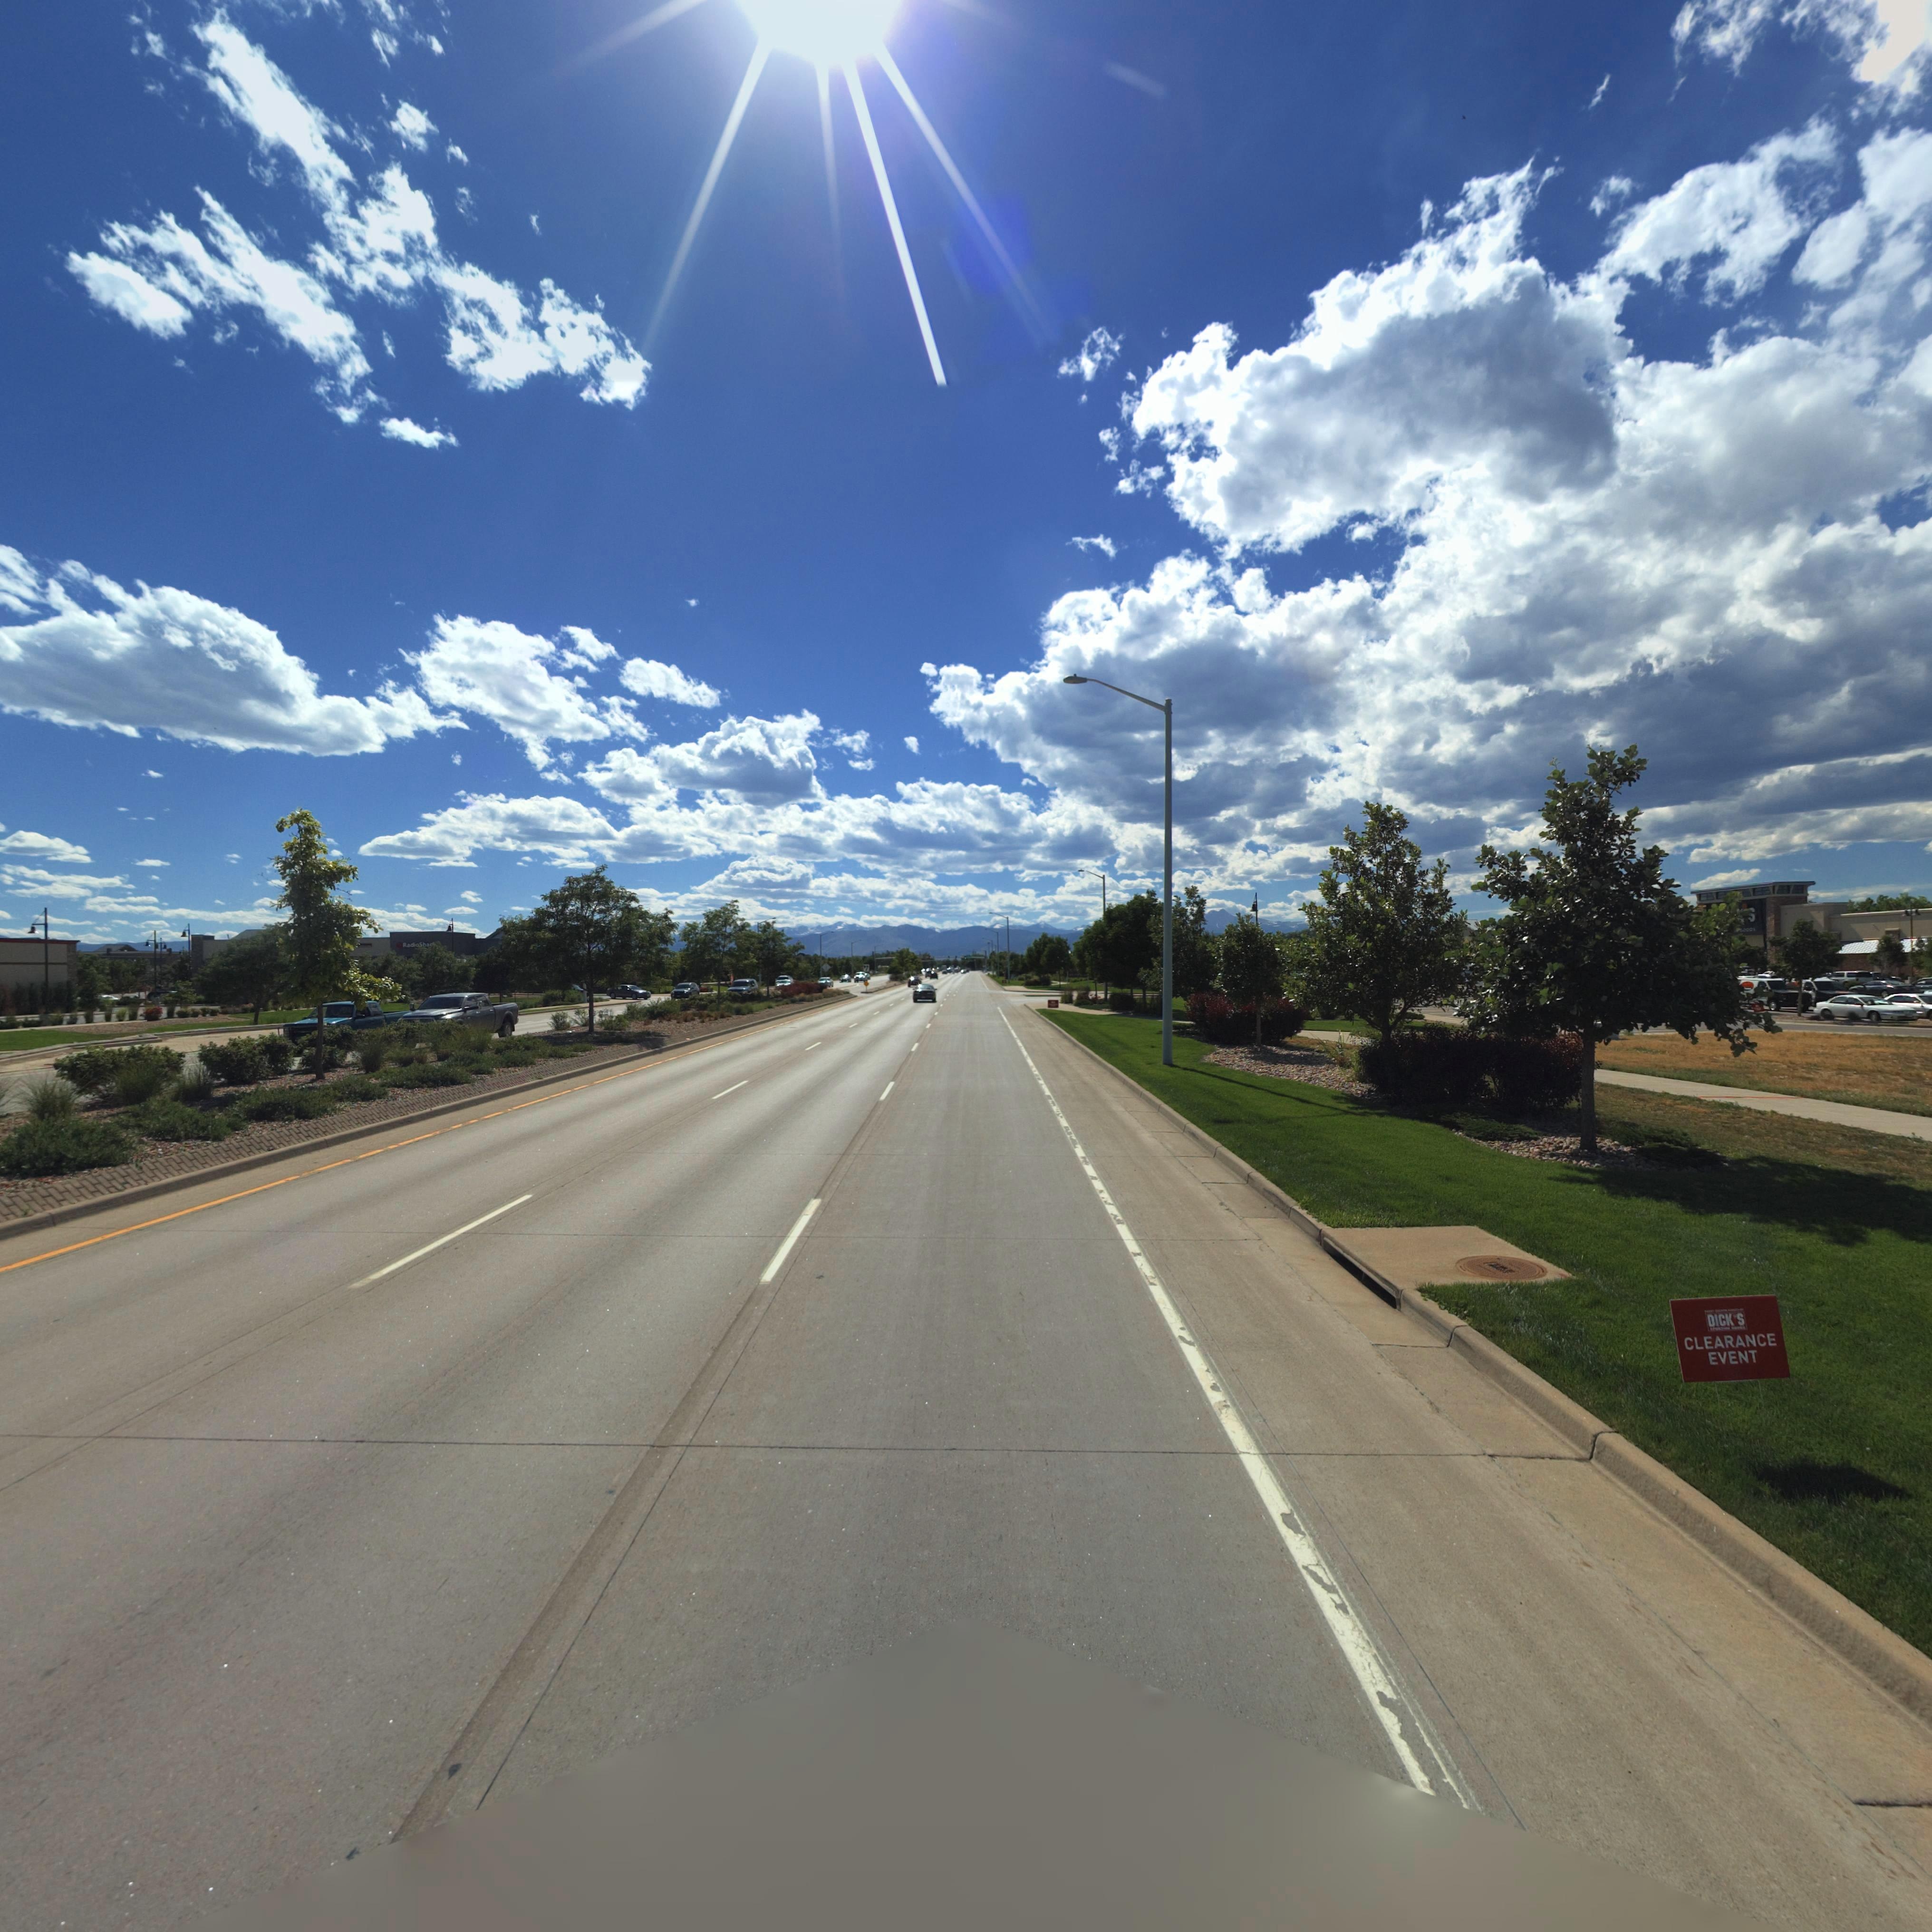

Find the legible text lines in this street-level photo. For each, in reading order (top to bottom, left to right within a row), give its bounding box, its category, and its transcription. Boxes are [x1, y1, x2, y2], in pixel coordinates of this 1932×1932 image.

[1736, 907, 1755, 925] BusinessName: *S
[1739, 927, 1756, 932] BusinessName: *OODS
[403, 941, 436, 948] BusinessName: Radioshac*
[1705, 1312, 1746, 1327] BusinessName: DICK*S